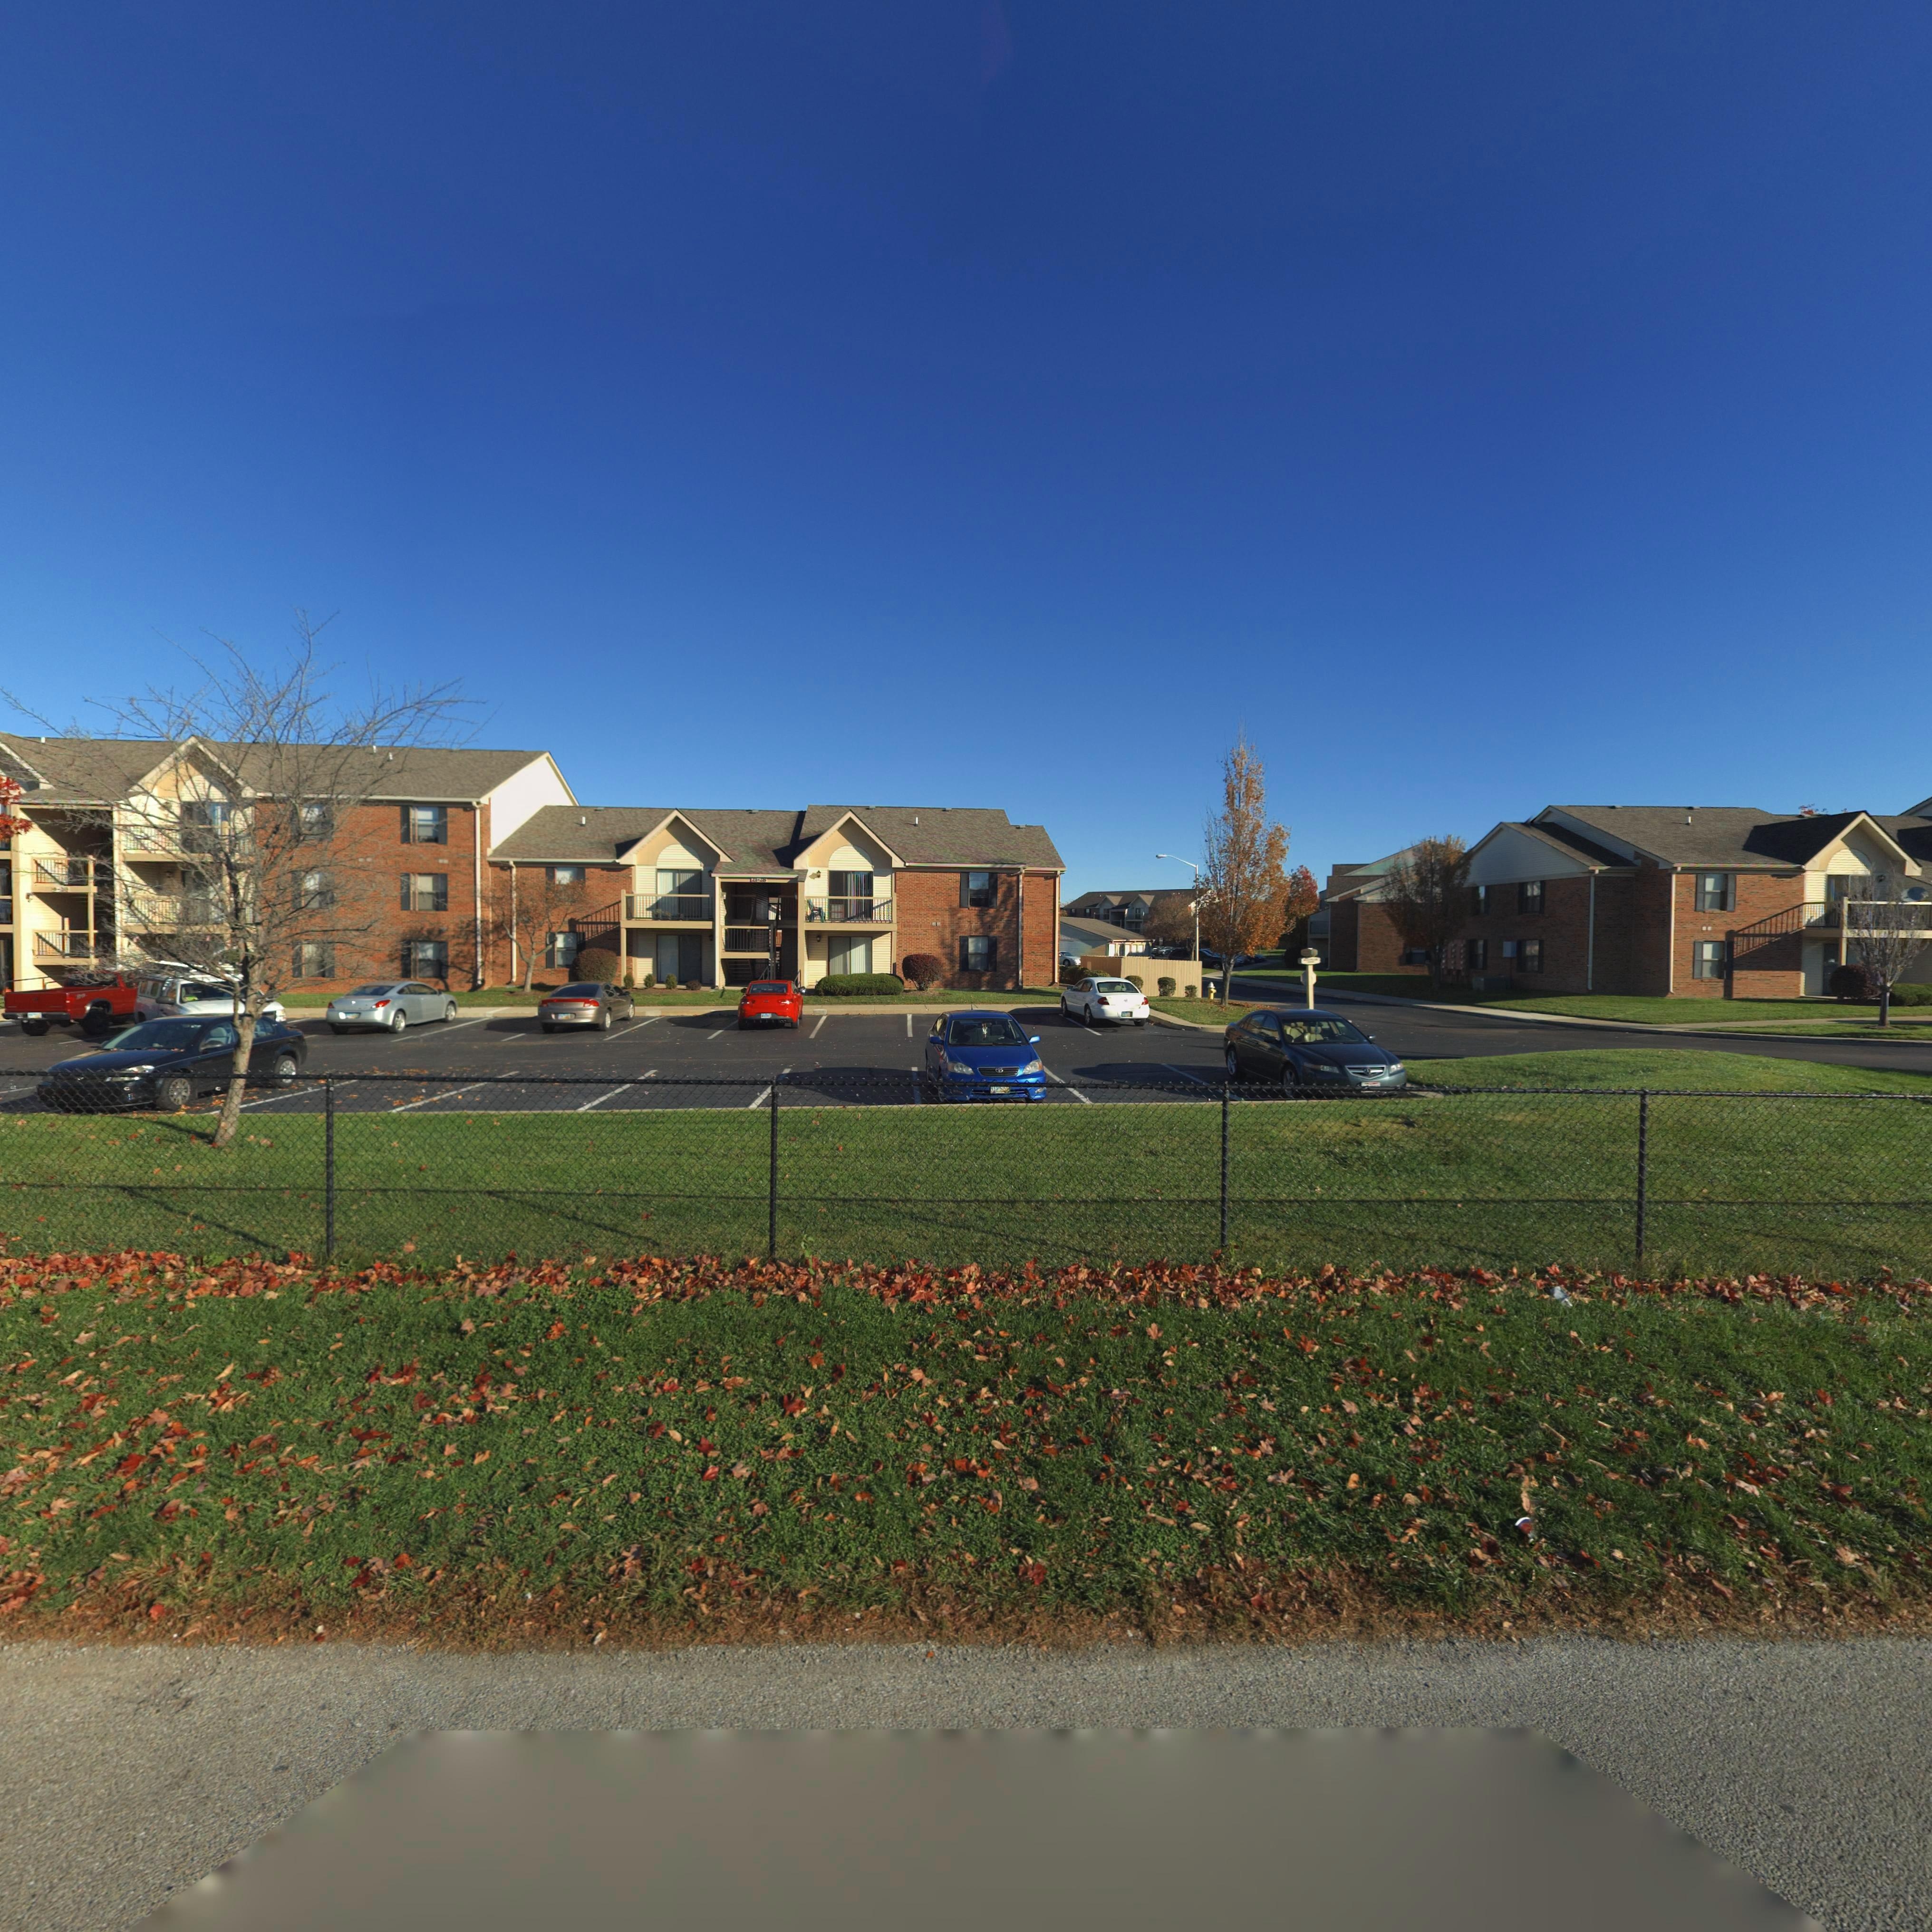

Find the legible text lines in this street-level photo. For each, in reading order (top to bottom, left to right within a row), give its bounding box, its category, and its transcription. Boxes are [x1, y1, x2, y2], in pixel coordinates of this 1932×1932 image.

[752, 878, 757, 882] StreetNumber: 21
[760, 878, 766, 882] StreetNumber: 28